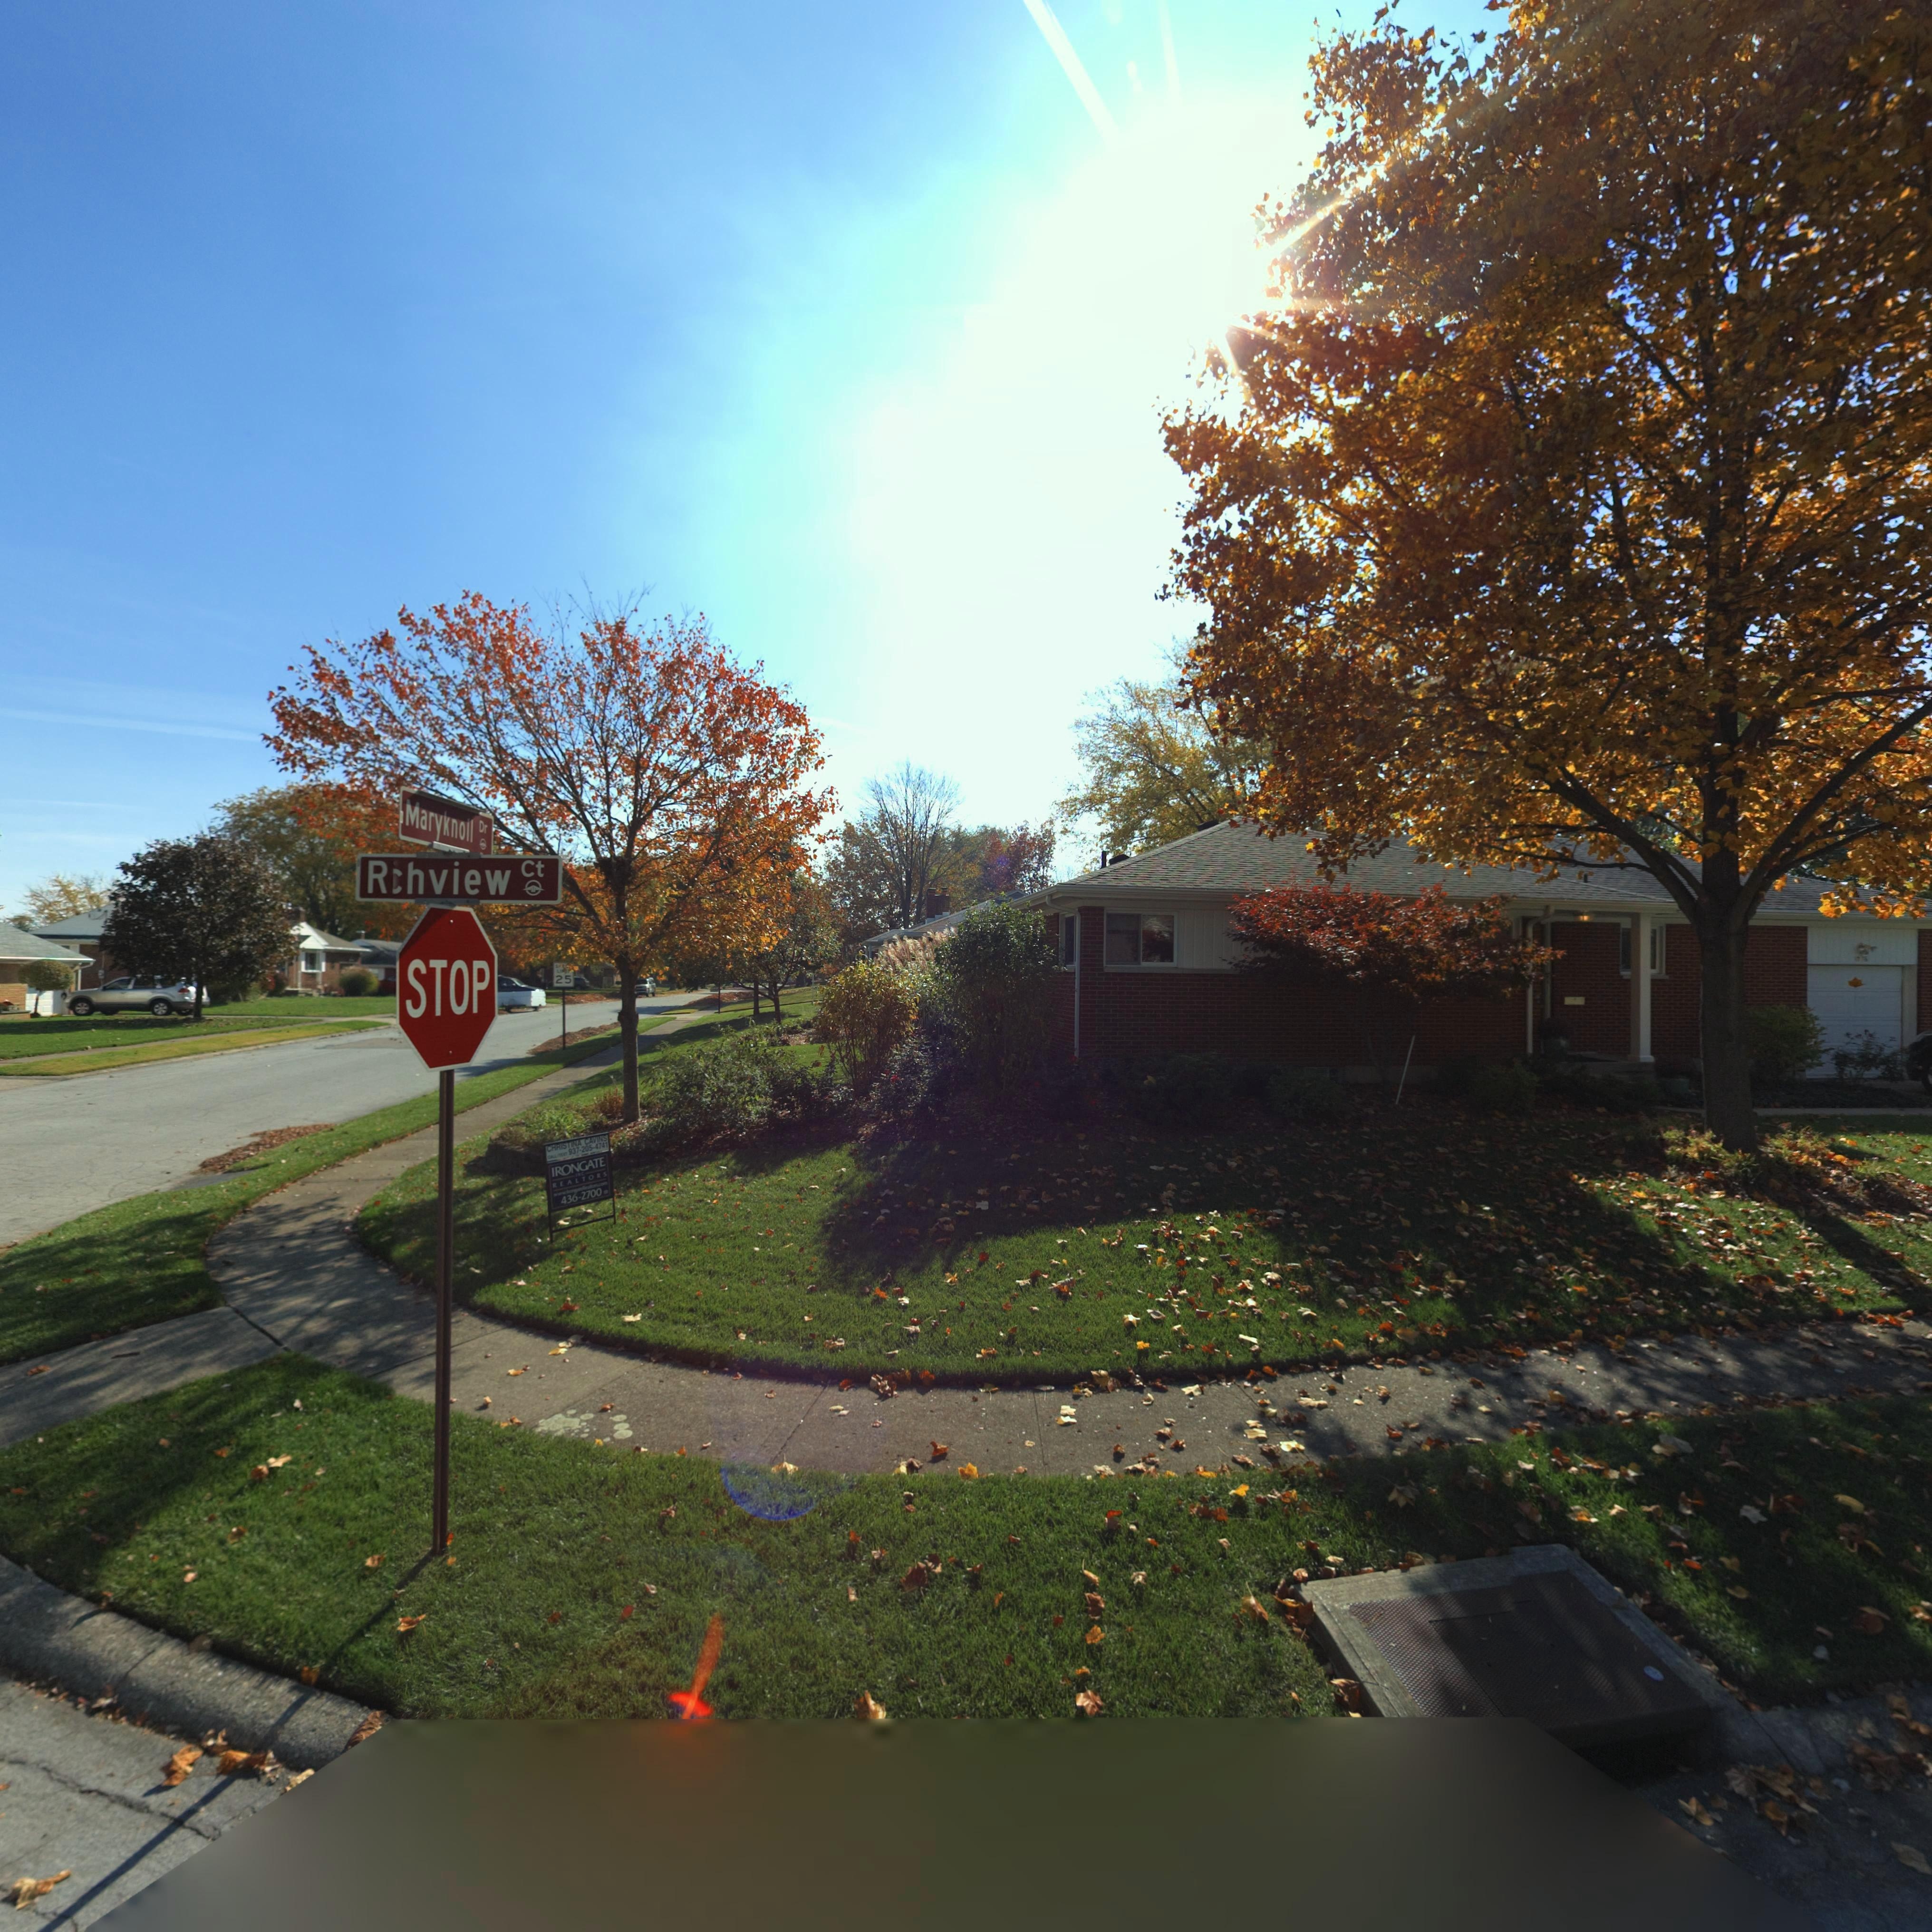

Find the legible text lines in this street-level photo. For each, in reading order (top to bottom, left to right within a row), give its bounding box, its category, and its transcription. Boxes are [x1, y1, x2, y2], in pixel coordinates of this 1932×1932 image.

[405, 796, 490, 843] StreetName: Maryknoll Dr
[366, 858, 545, 896] StreetName: R*hview Ct
[402, 958, 491, 1019] None: STOP
[555, 964, 559, 968] None: S
[557, 969, 562, 974] None: LI
[554, 975, 572, 984] None: 25
[1854, 955, 1867, 962] StreetNumber: 1076
[546, 1134, 608, 1153] None: CHRISTINA CAVINS
[568, 1141, 608, 1156] None: 937-205-4741
[551, 1156, 606, 1179] None: IRONGATE
[552, 1170, 607, 1189] None: REALTORS
[575, 1171, 585, 1178] None: INC
[560, 1187, 603, 1206] None: 436-2700